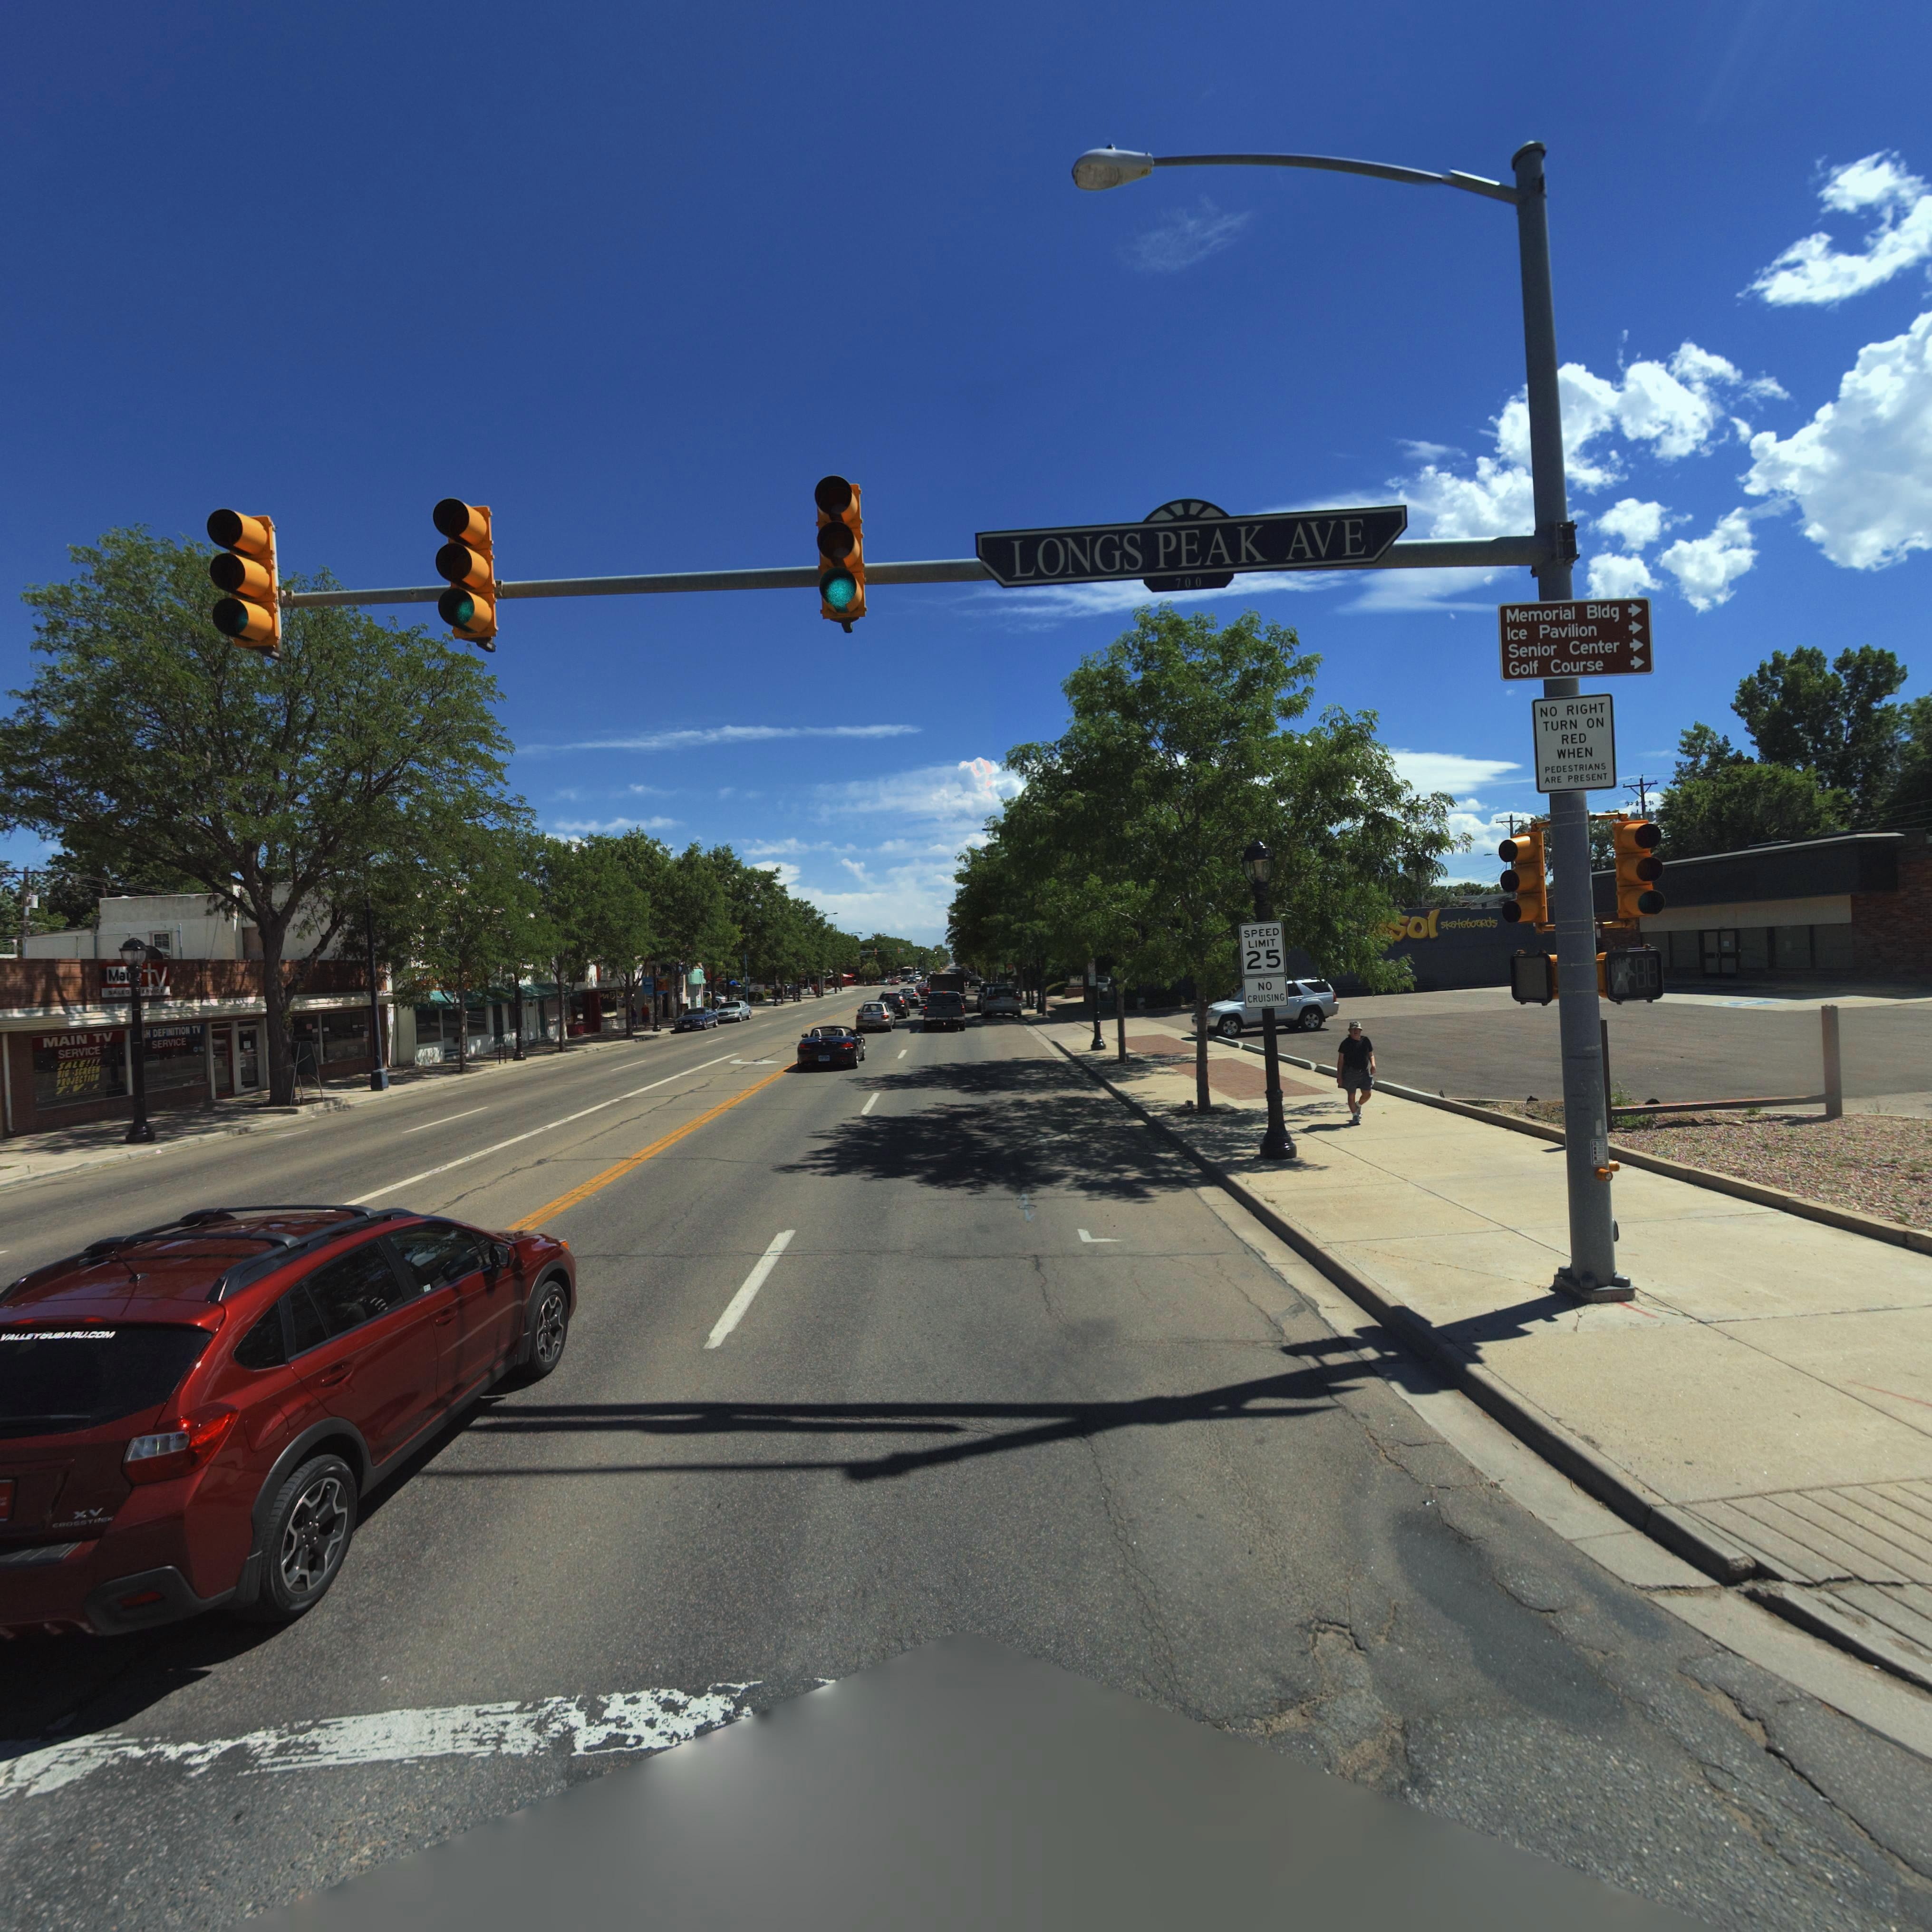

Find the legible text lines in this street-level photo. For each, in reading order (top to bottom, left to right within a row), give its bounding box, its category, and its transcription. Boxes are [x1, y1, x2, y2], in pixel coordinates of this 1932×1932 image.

[1011, 518, 1367, 579] StreetName: LONGS PEAK AVE
[1175, 576, 1201, 589] StreetNumberRange: 700
[108, 969, 129, 981] BusinessName: Ma*
[143, 962, 167, 987] BusinessName: tv
[43, 1032, 113, 1048] BusinessName: MAIN TV
[58, 1046, 101, 1059] BusinessName: SERVICE